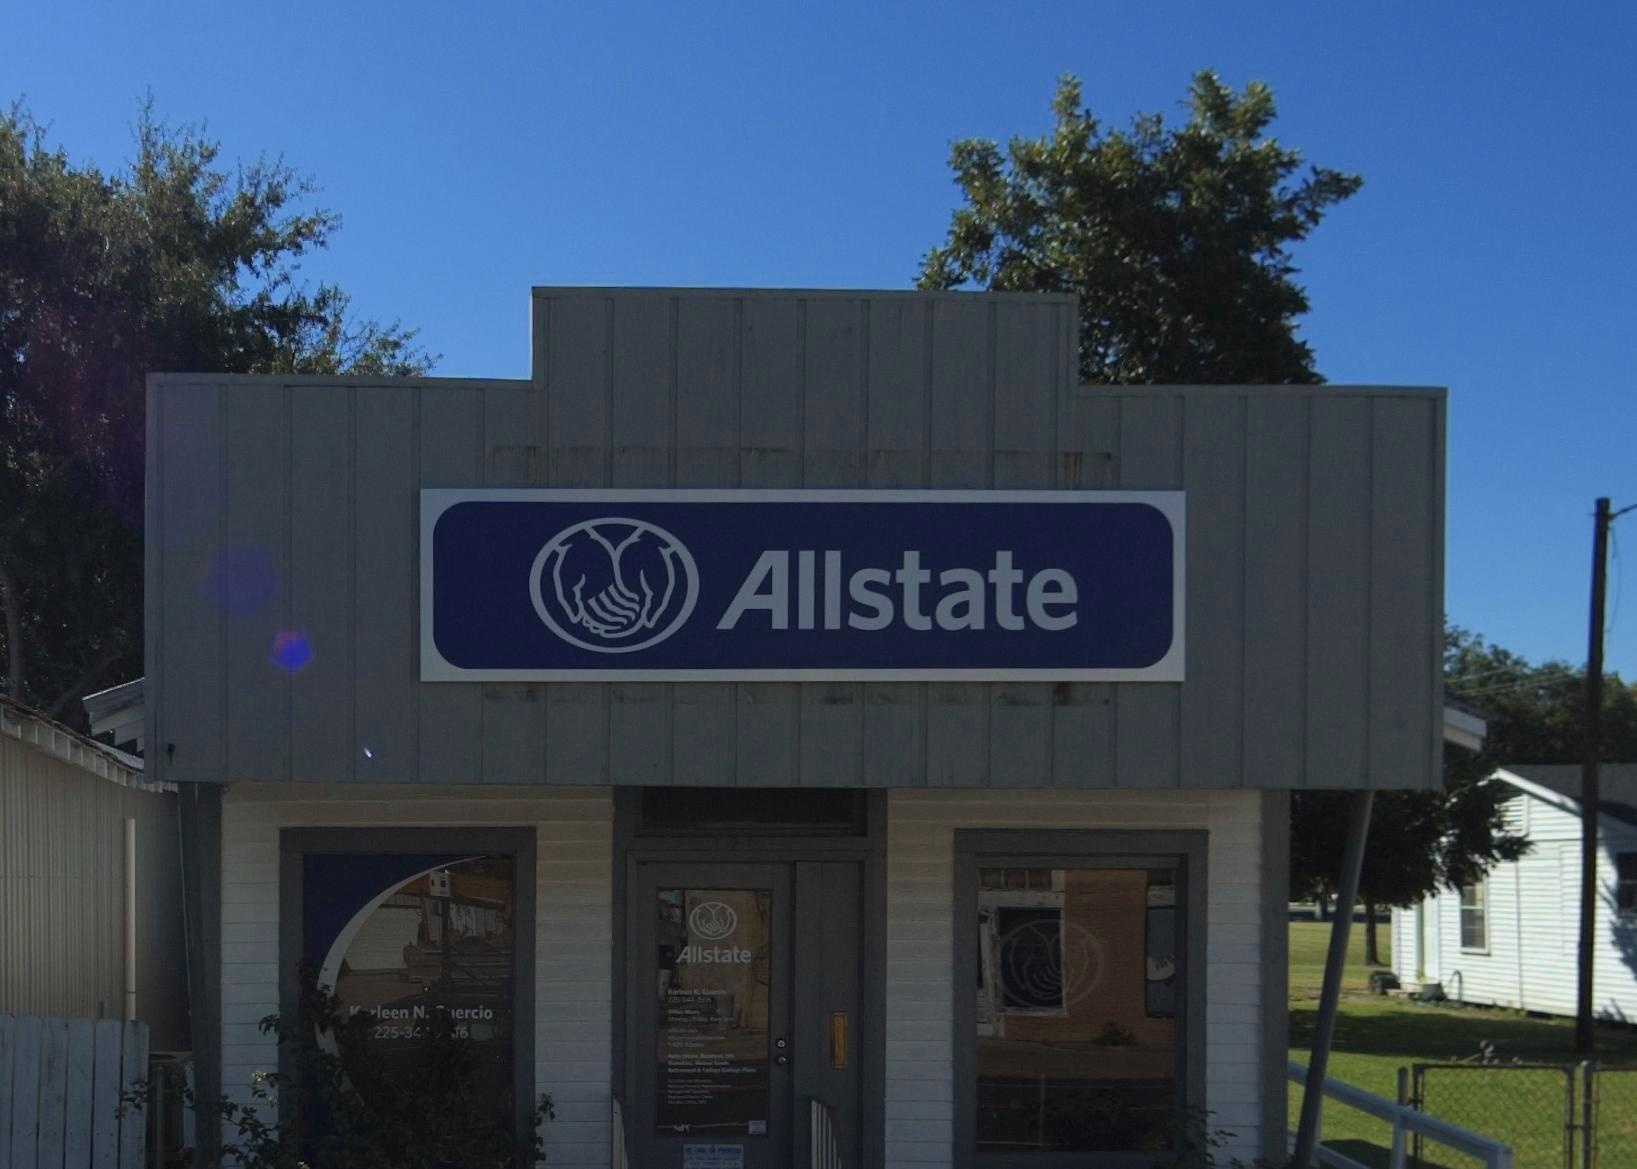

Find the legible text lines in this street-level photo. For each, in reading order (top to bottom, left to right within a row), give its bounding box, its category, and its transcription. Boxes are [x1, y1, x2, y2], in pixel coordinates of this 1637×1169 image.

[712, 548, 1079, 632] BusinessName: Allstate
[673, 944, 752, 963] BusinessName: Allstate
[376, 1004, 494, 1020] None: leen N. **ercio
[372, 1025, 470, 1039] None: 225-34***16